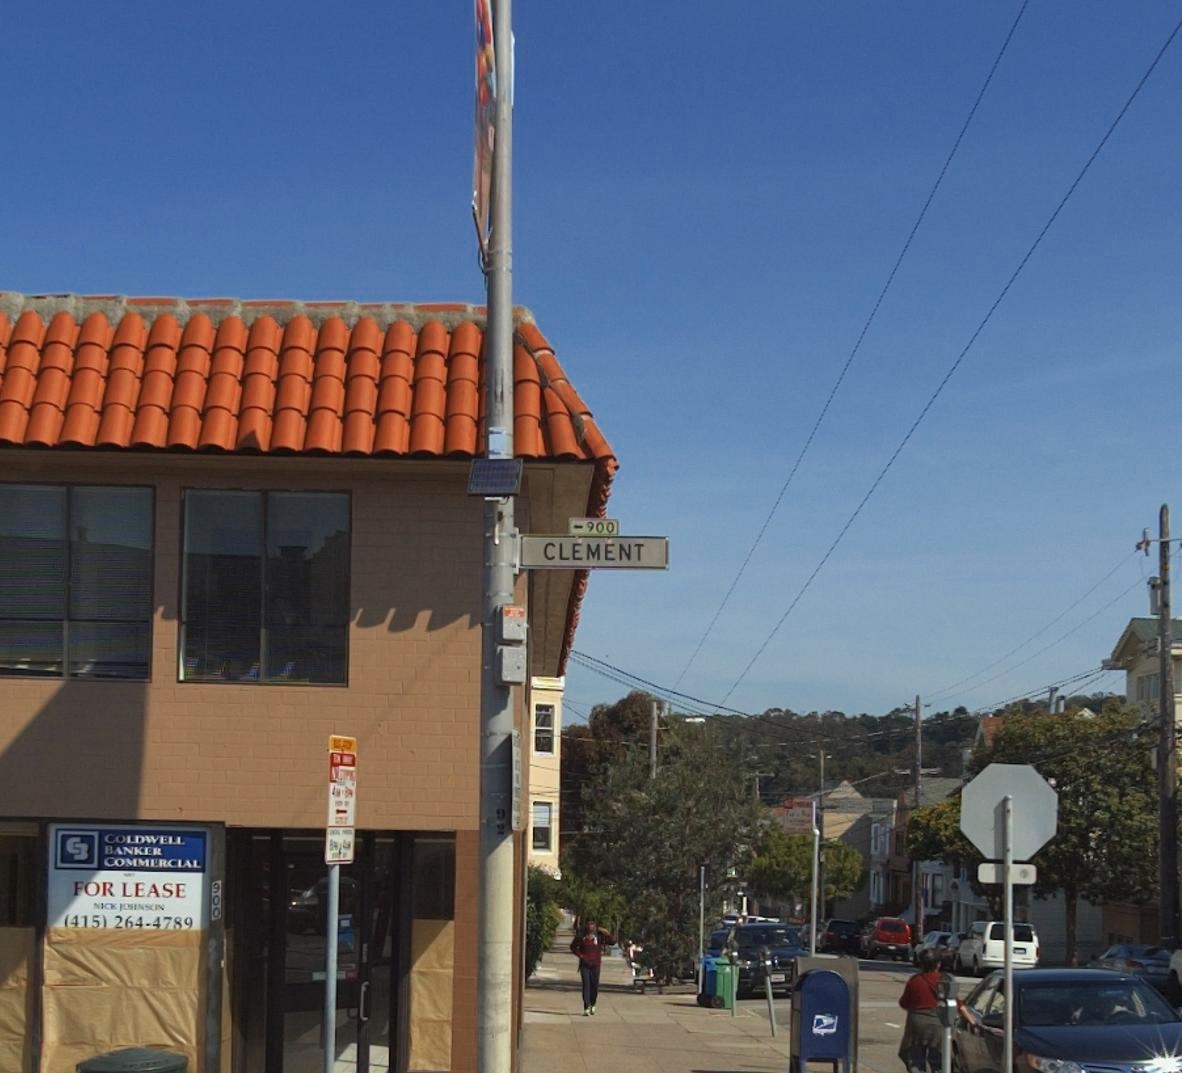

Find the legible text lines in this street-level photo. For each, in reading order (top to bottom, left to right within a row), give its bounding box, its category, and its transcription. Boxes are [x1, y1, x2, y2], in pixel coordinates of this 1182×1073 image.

[567, 516, 619, 535] StreetNumberRange: <-900
[540, 537, 648, 568] StreetName: CLEMENT
[103, 833, 185, 845] BusinessName: COLDWELL
[103, 845, 161, 856] BusinessName: BANKER
[102, 857, 199, 867] BusinessName: COMMERCIAL
[72, 879, 186, 899] None: FOR LEASE
[91, 900, 164, 910] None: NICK JOH****IN
[211, 880, 221, 919] StreetNumber: 900
[62, 911, 194, 930] None: (415) 264-4789